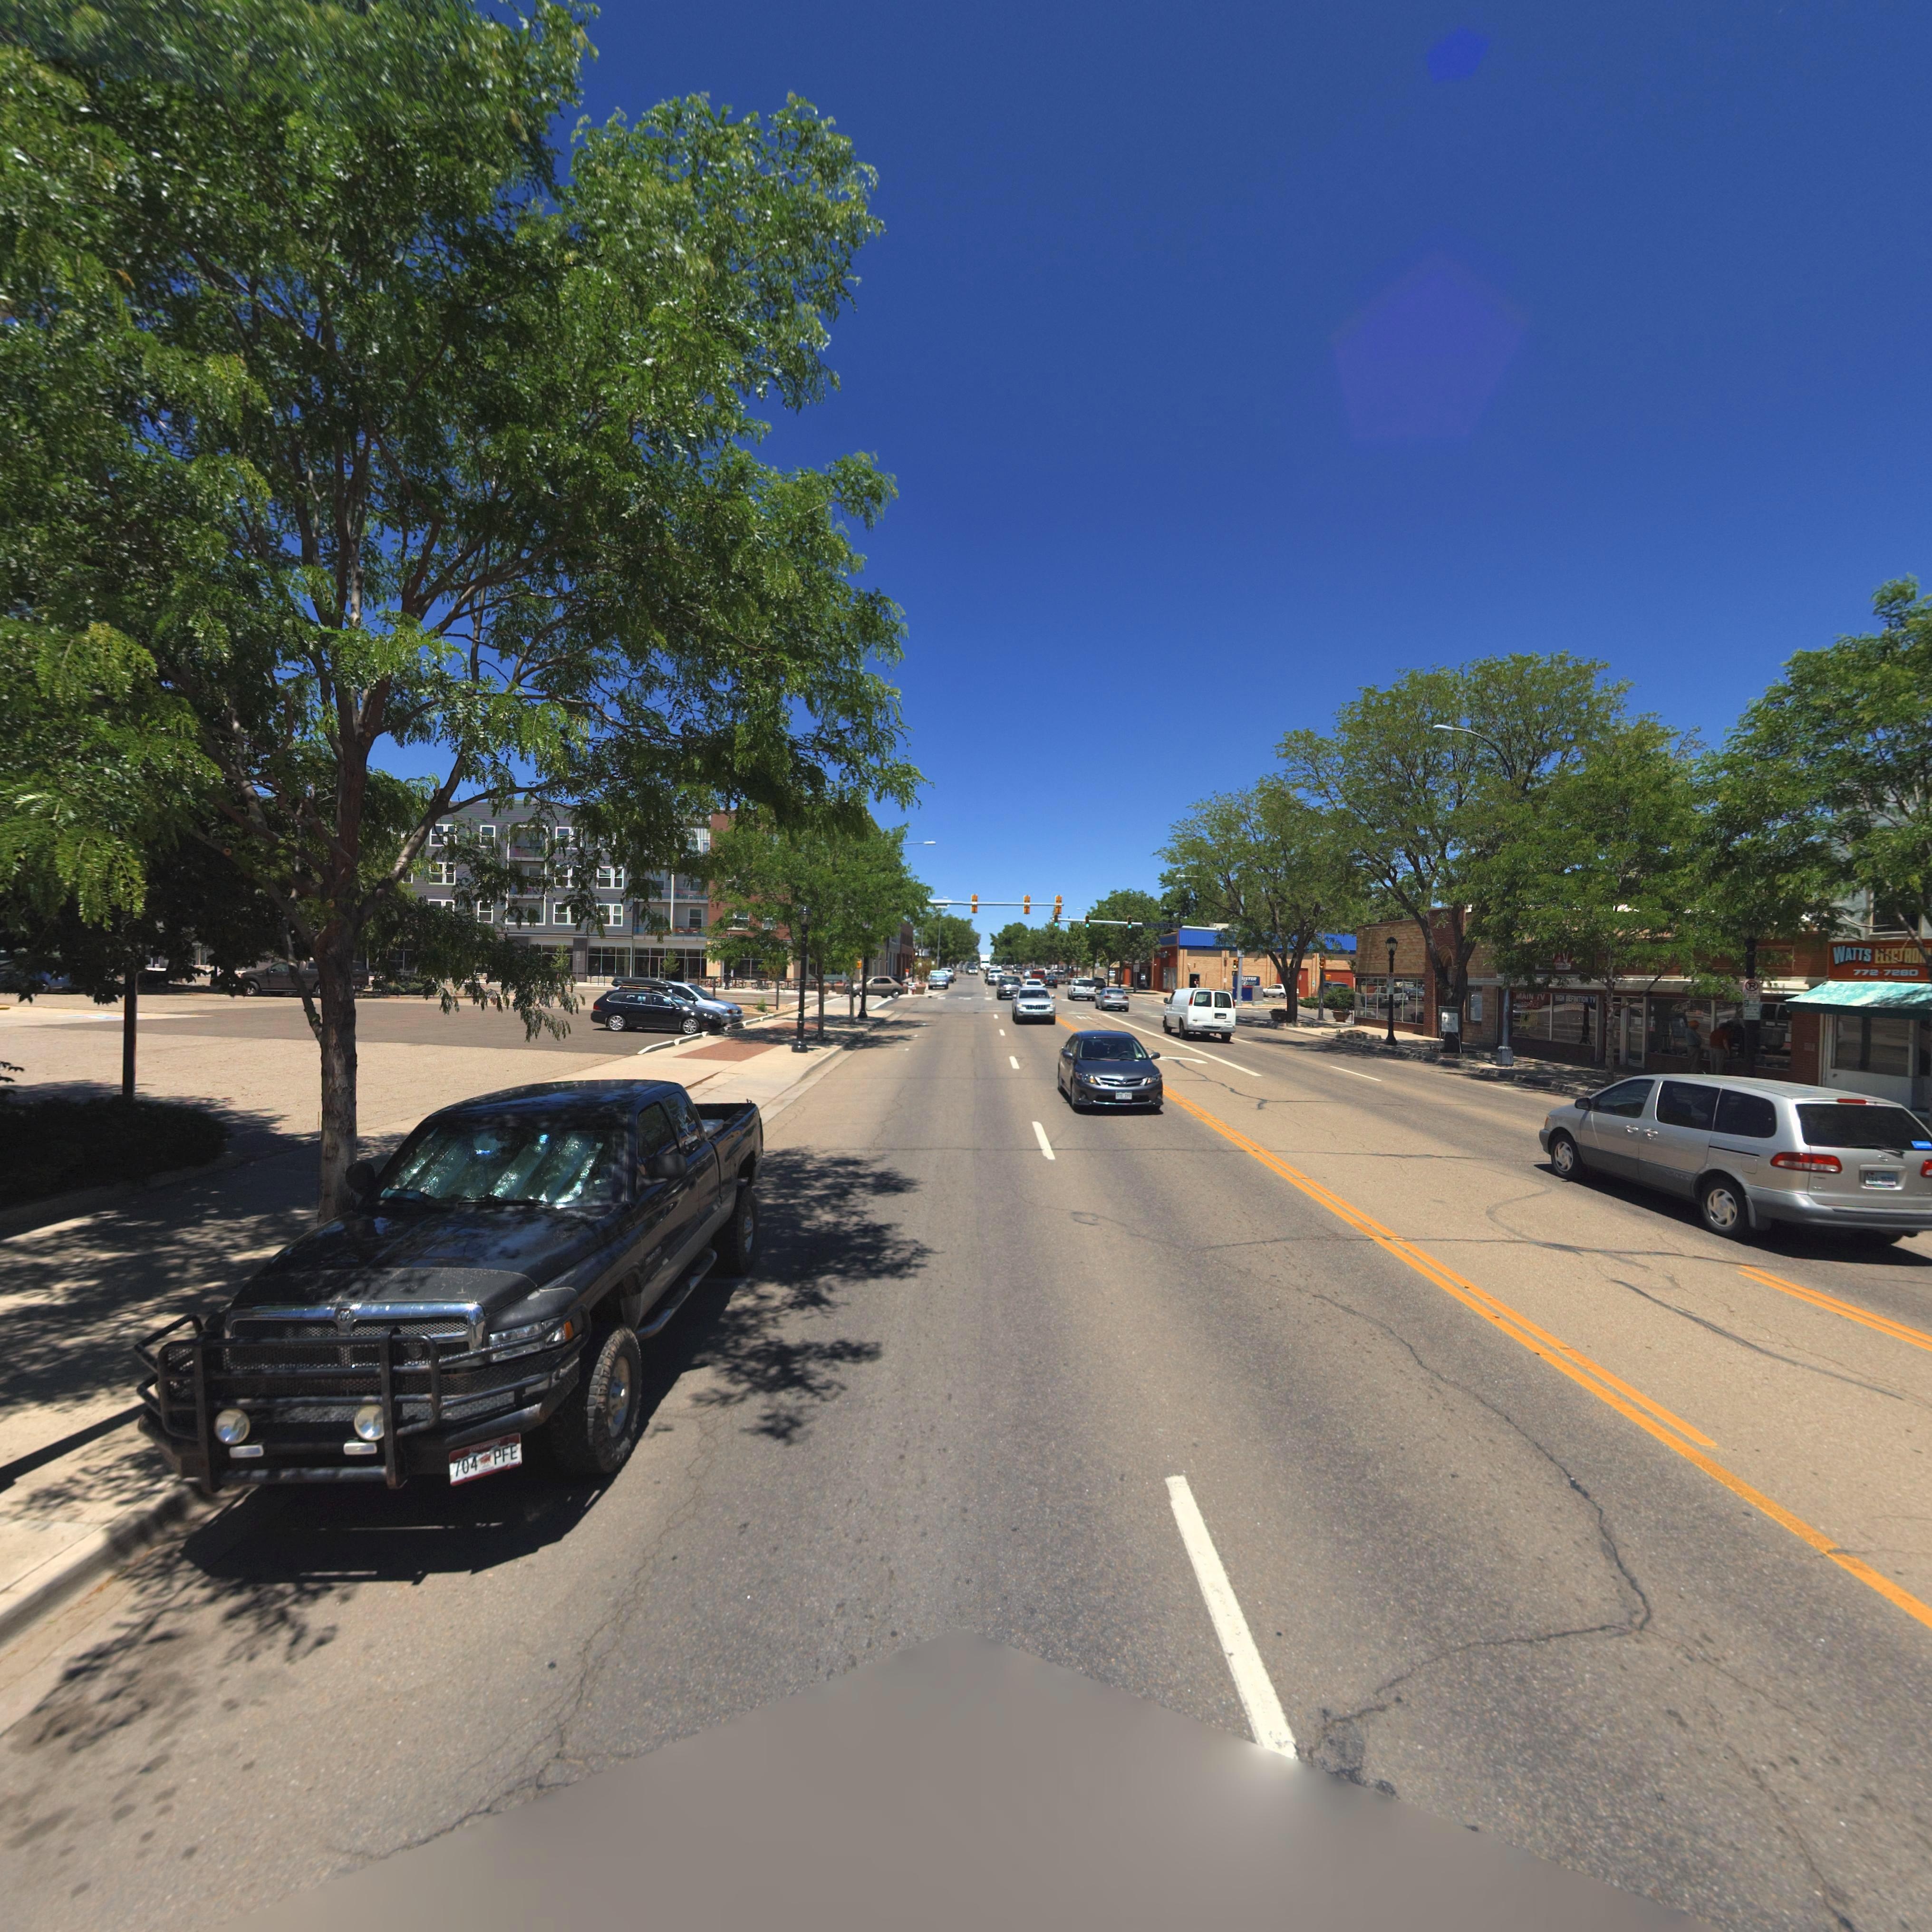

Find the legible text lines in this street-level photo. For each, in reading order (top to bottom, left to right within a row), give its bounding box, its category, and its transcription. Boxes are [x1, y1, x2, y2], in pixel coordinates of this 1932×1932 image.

[1146, 922, 1180, 928] StreetName: LONGS PEAK A*E
[1556, 947, 1569, 964] BusinessName: tv
[1832, 945, 1871, 965] BusinessName: WATTS
[1874, 947, 1927, 964] BusinessName: ELECTRO*
[1244, 977, 1256, 981] BusinessName: ISTER
[1242, 980, 1256, 986] BusinessName: ONEY
[1516, 992, 1545, 1000] BusinessName: MAIN TV
[1444, 1016, 1455, 1020] BusinessName: **IN
[1447, 1023, 1452, 1026] BusinessName: TV